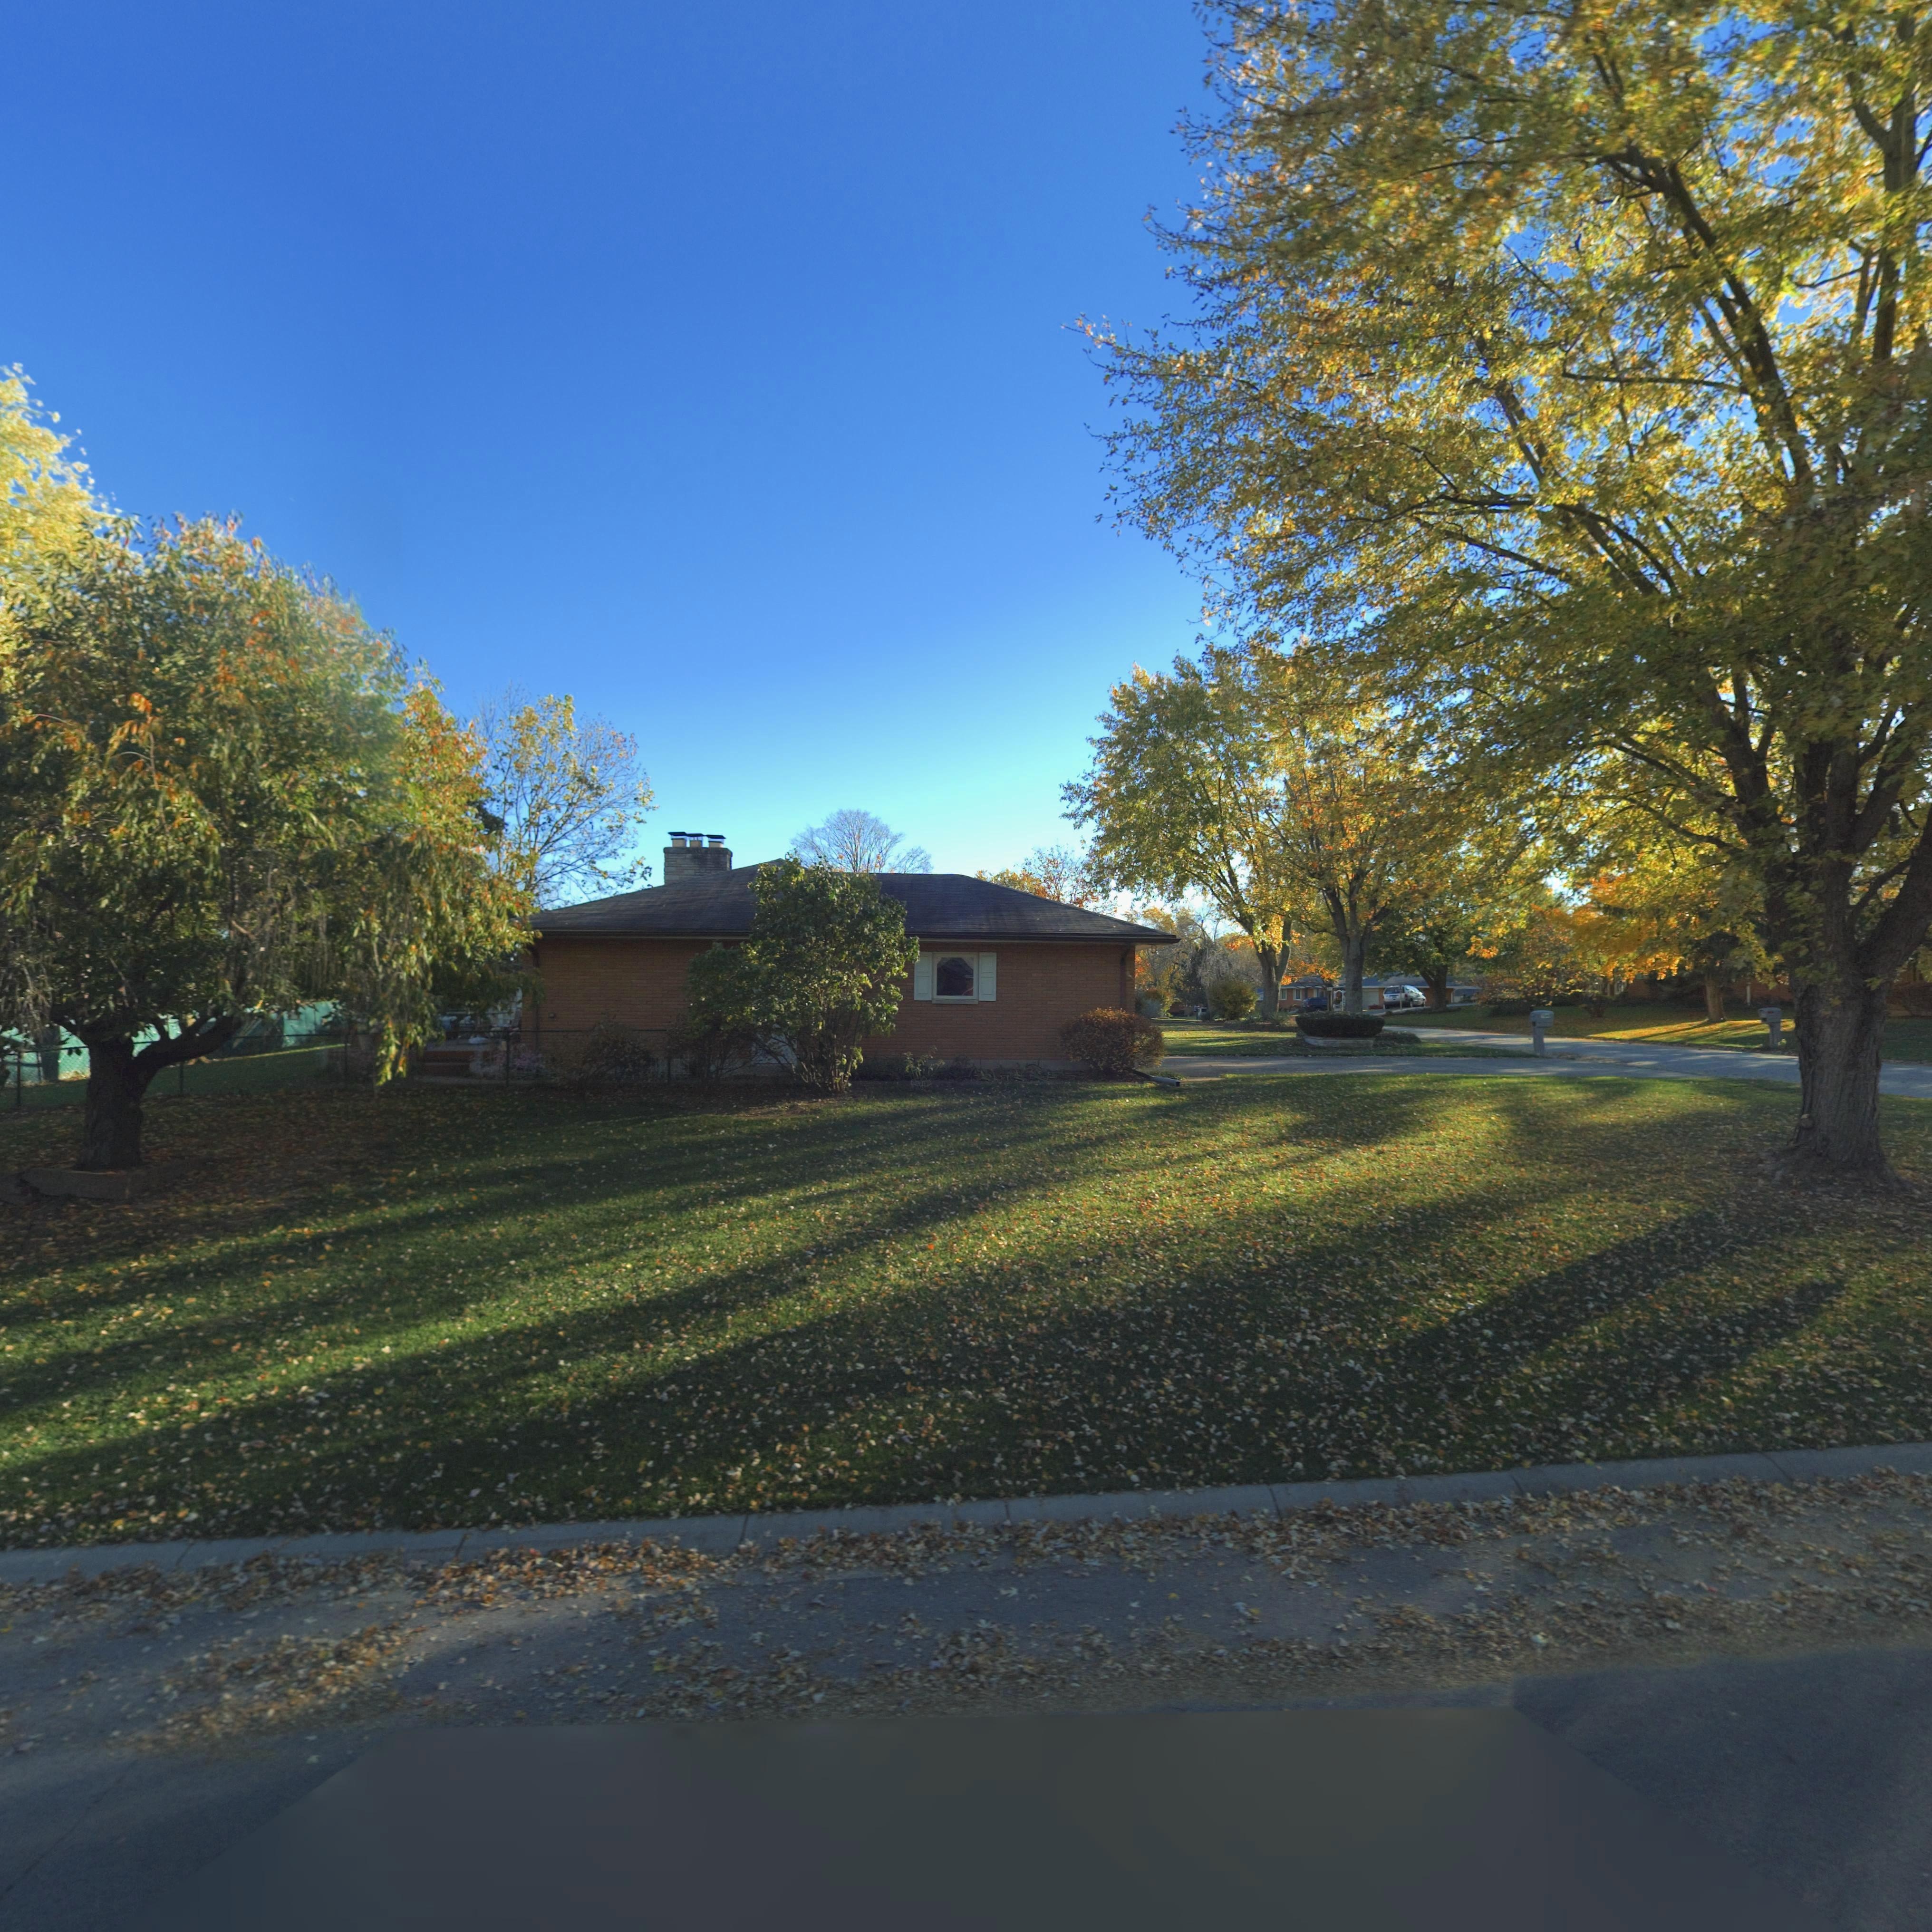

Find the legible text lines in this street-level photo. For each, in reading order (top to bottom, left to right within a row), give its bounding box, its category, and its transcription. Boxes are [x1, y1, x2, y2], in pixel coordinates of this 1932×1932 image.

[1541, 1014, 1552, 1018] StreetNumber: 7*40